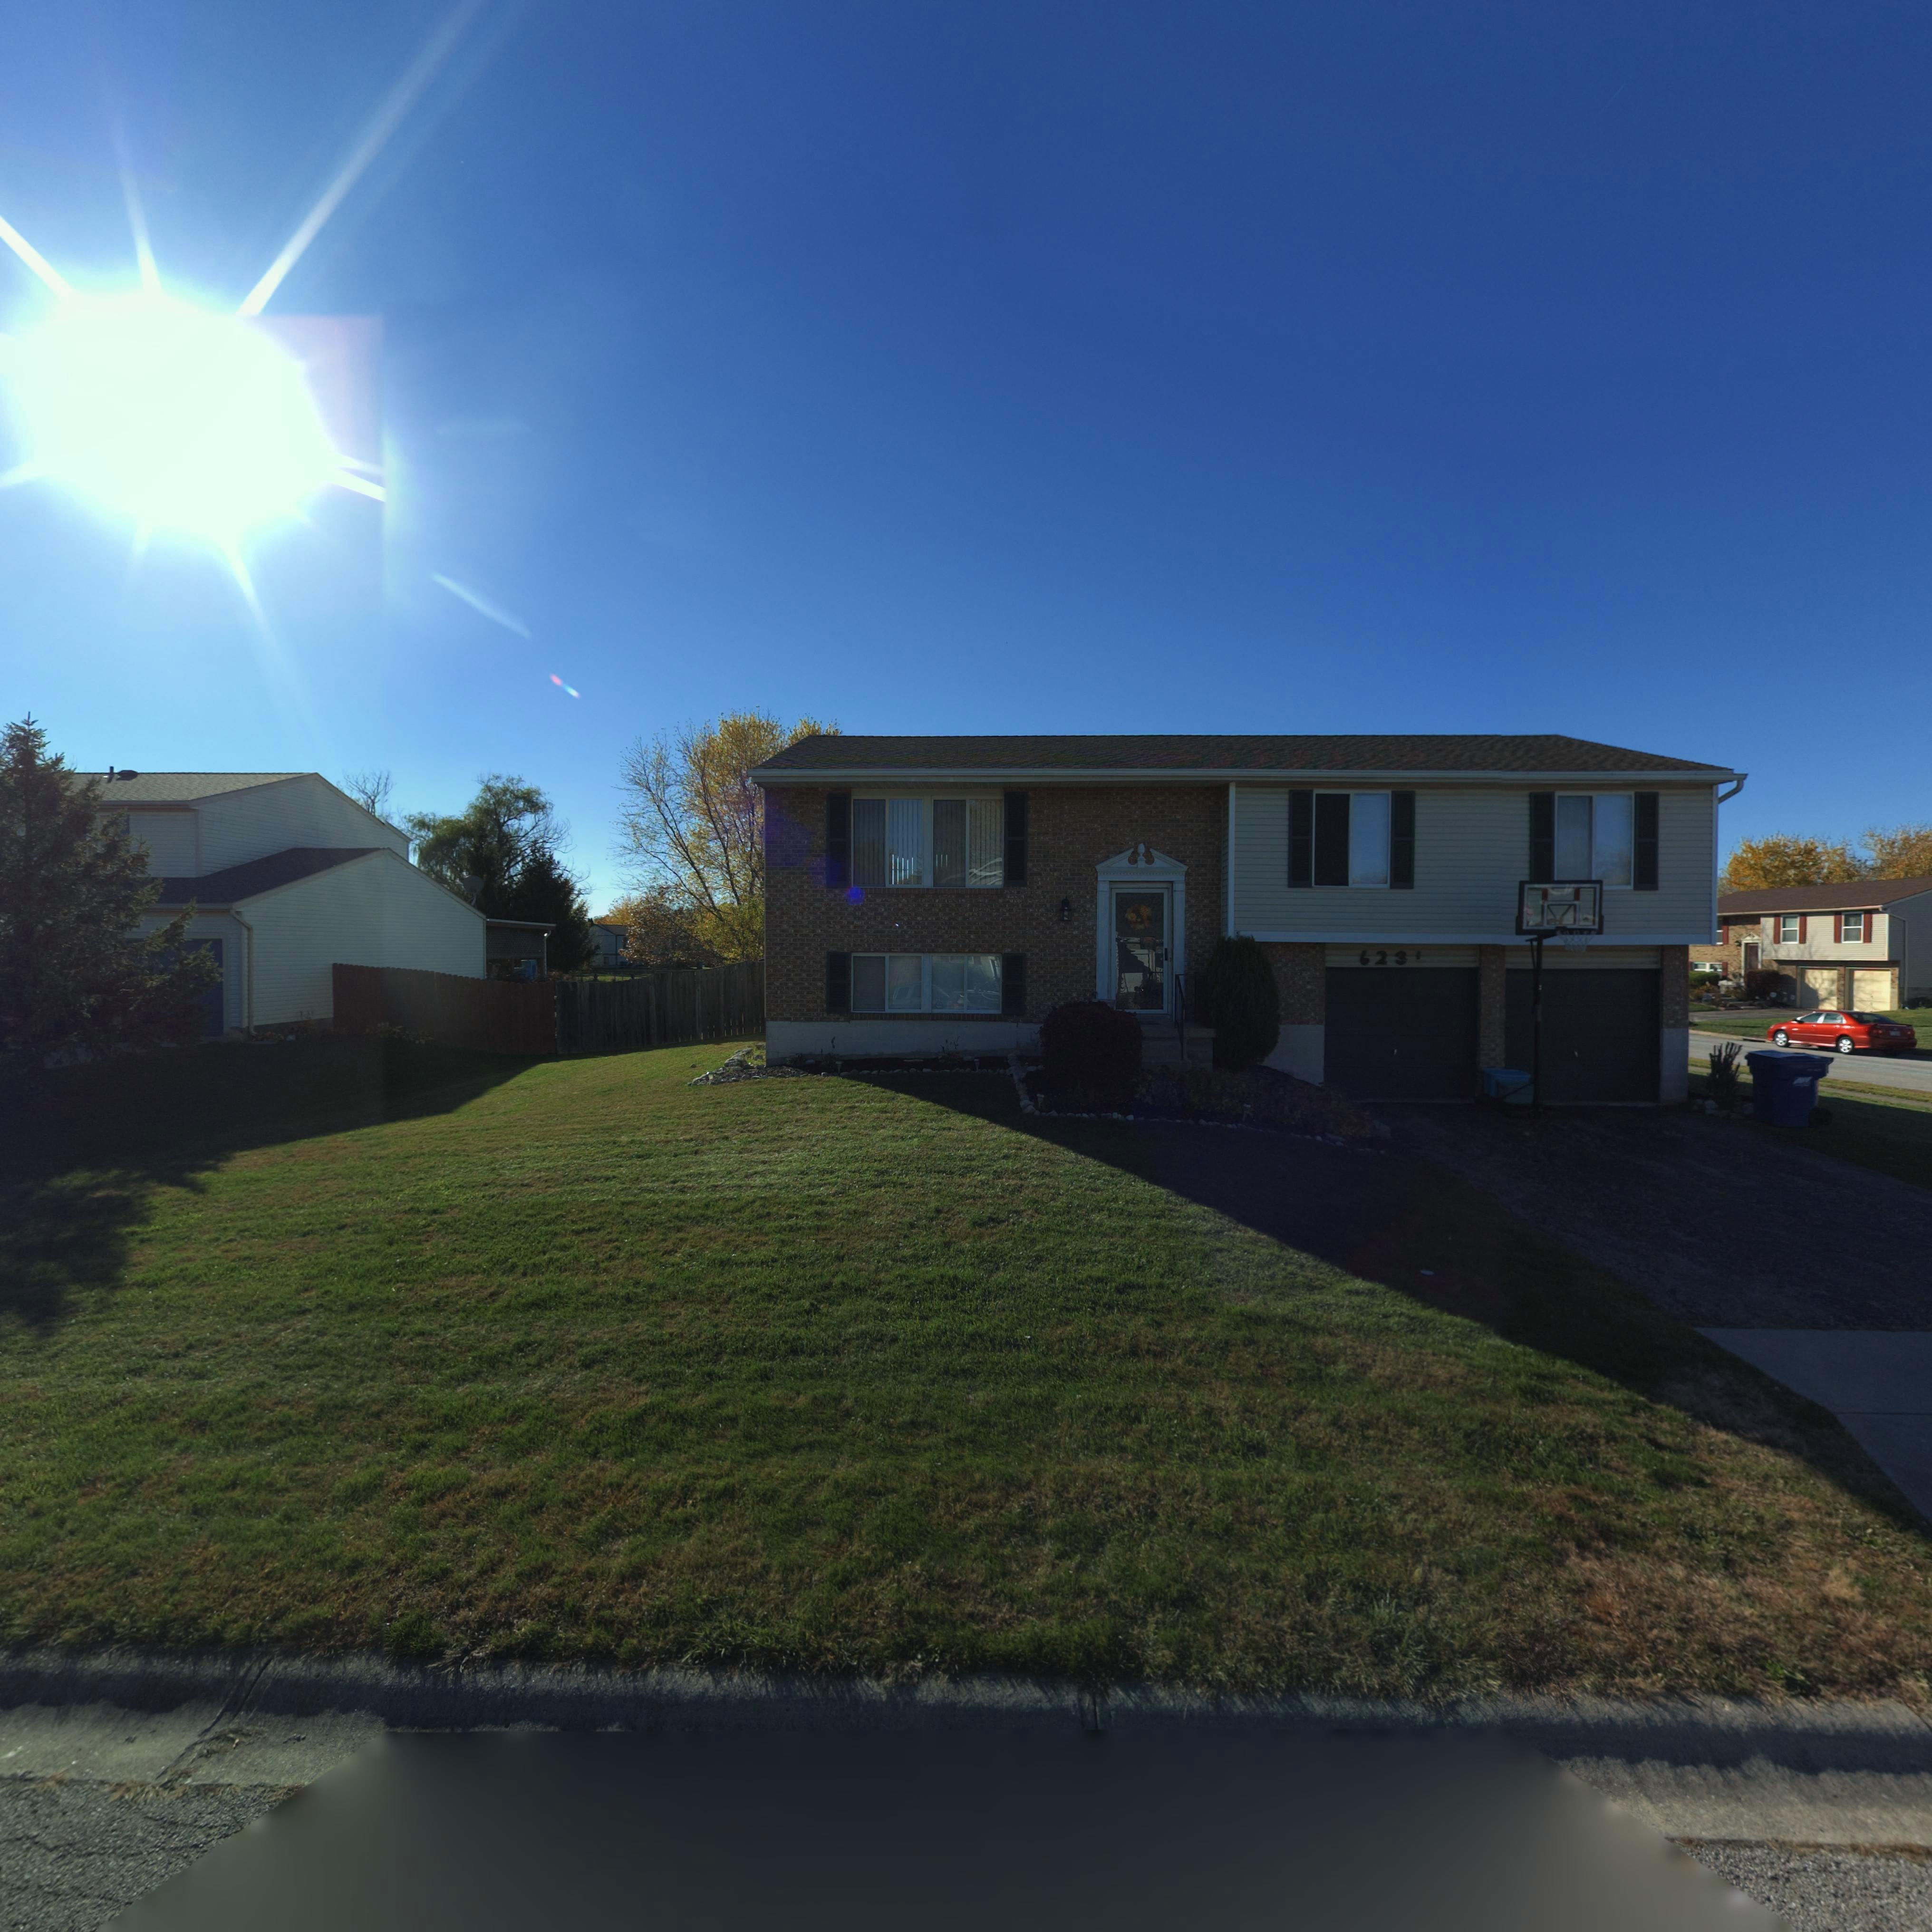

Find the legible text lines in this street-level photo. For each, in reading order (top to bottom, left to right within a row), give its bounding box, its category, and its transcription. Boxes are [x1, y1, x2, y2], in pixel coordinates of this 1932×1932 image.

[1358, 948, 1422, 968] StreetNumber: 623*